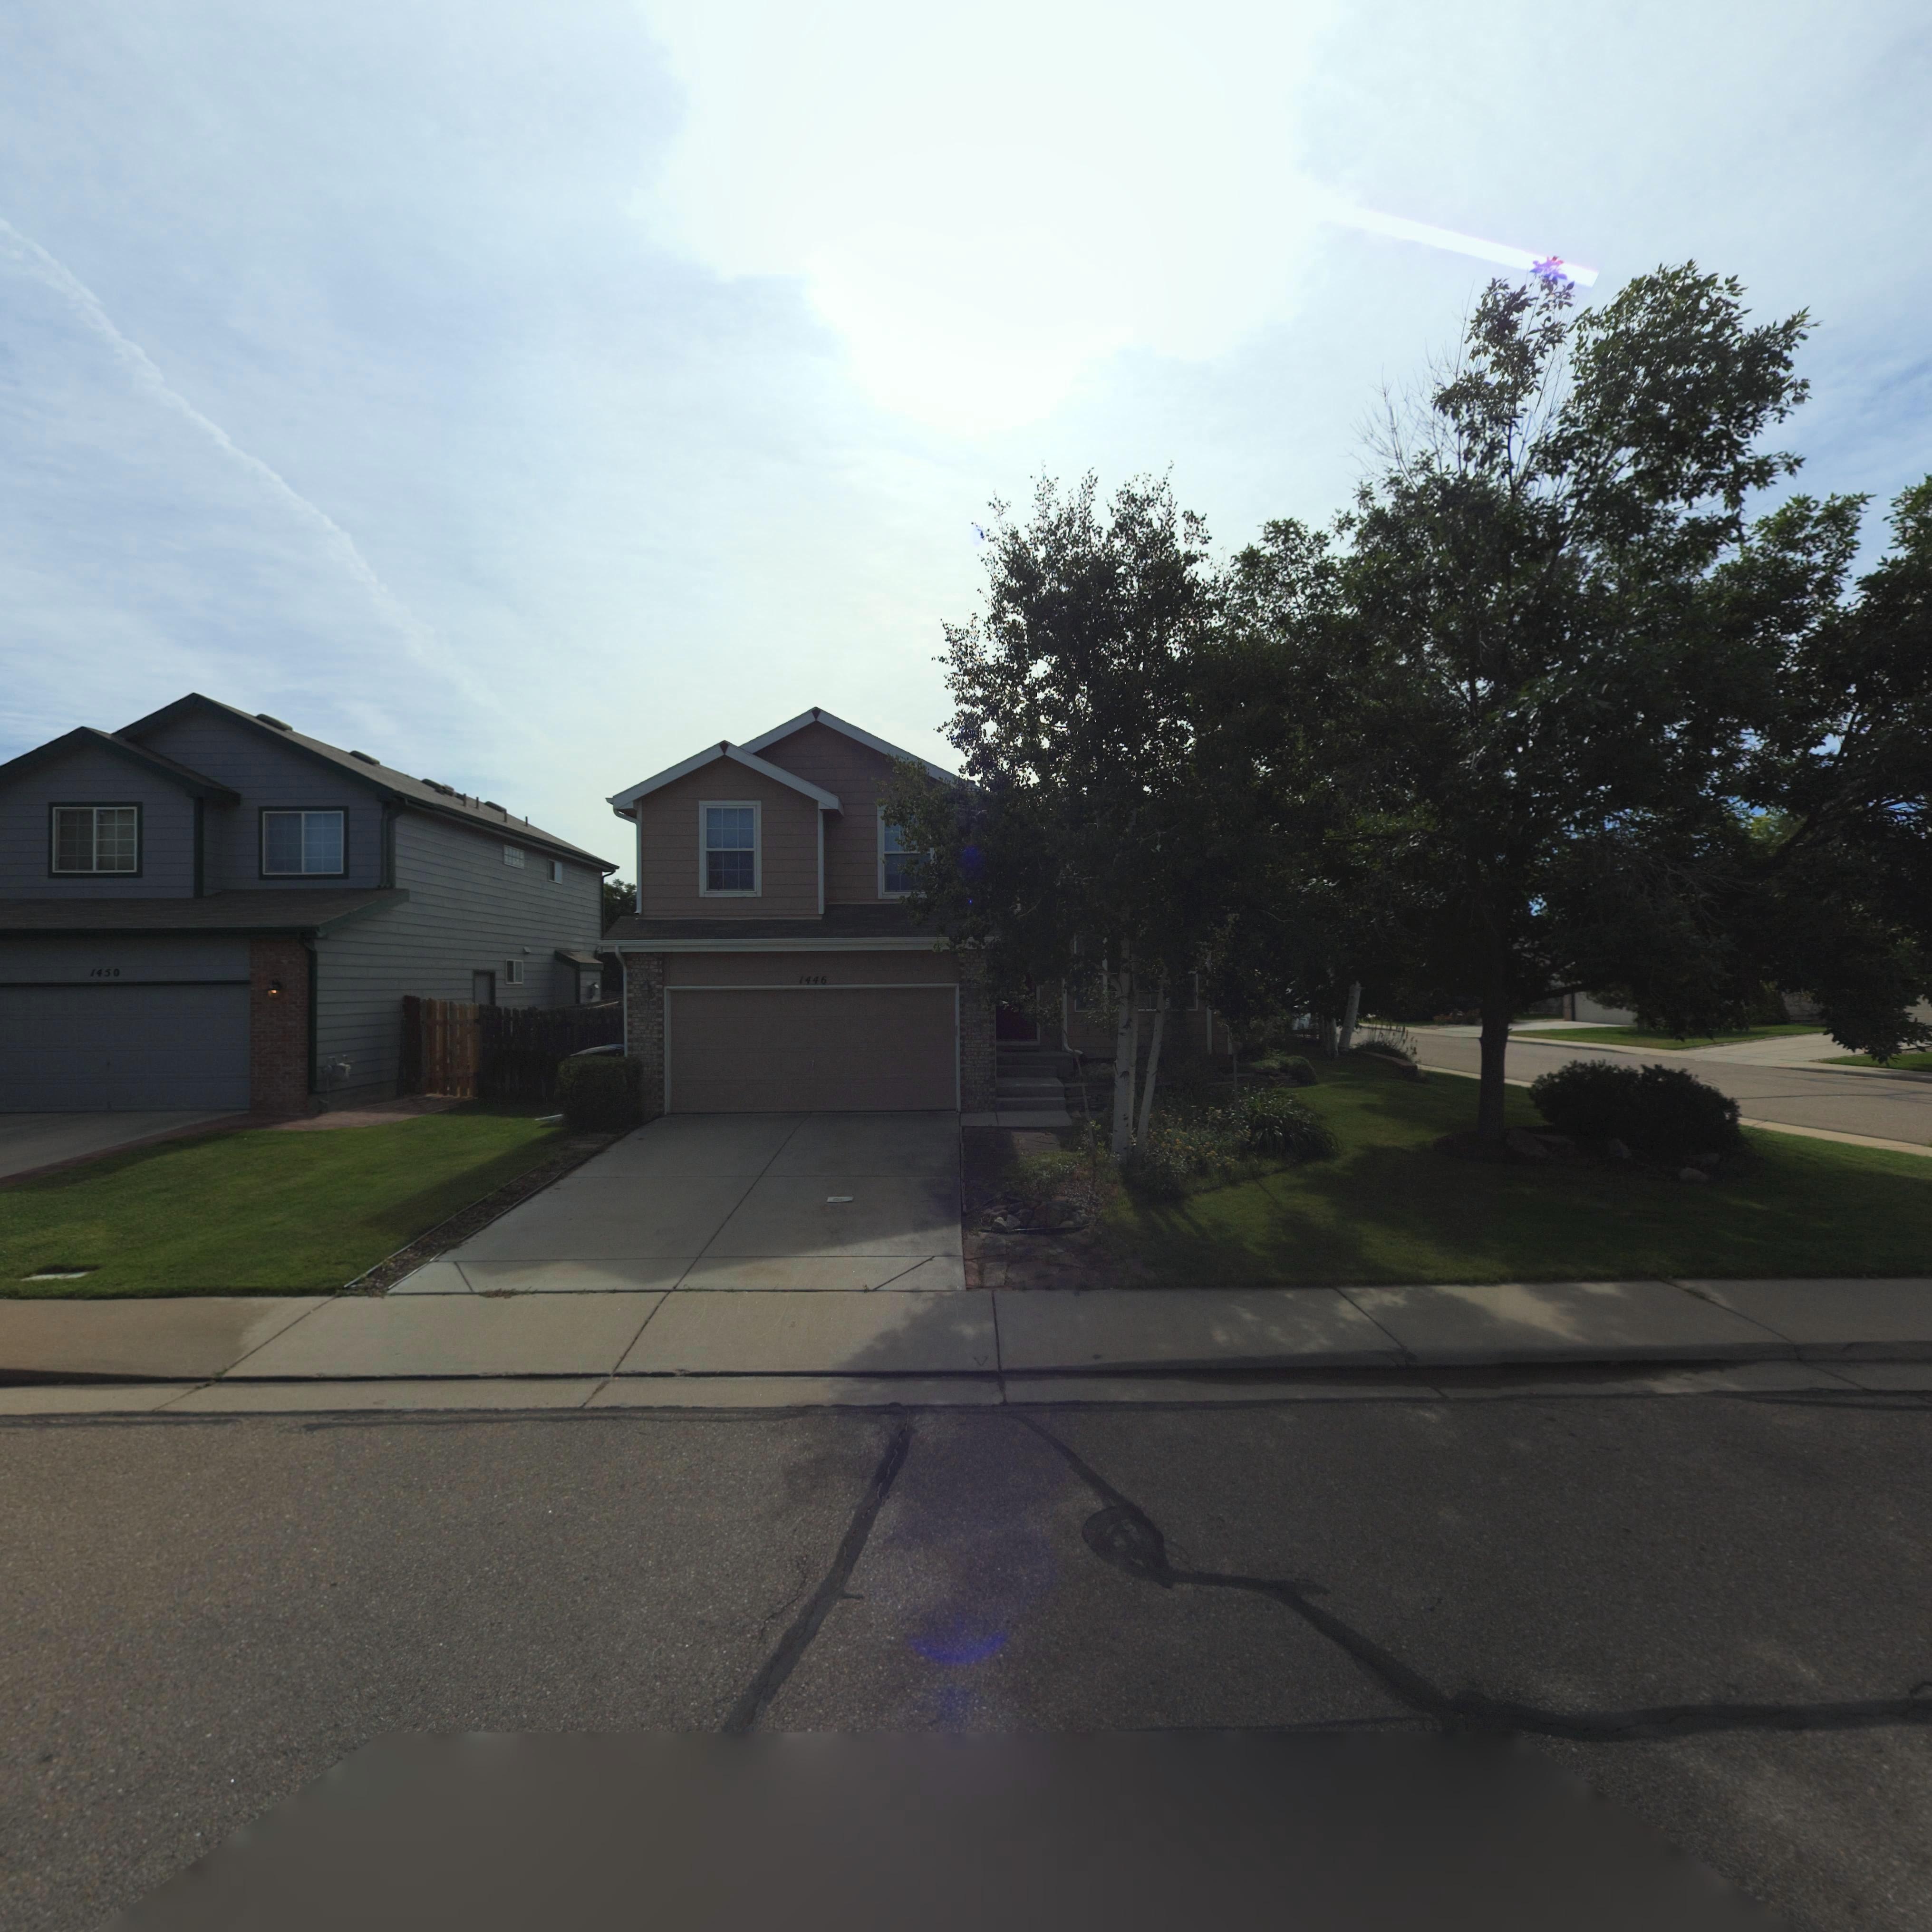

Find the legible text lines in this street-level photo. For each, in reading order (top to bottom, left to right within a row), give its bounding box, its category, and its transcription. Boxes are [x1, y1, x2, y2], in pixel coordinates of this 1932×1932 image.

[90, 968, 120, 977] StreetNumber: 1450
[800, 976, 827, 985] StreetNumber: 1446